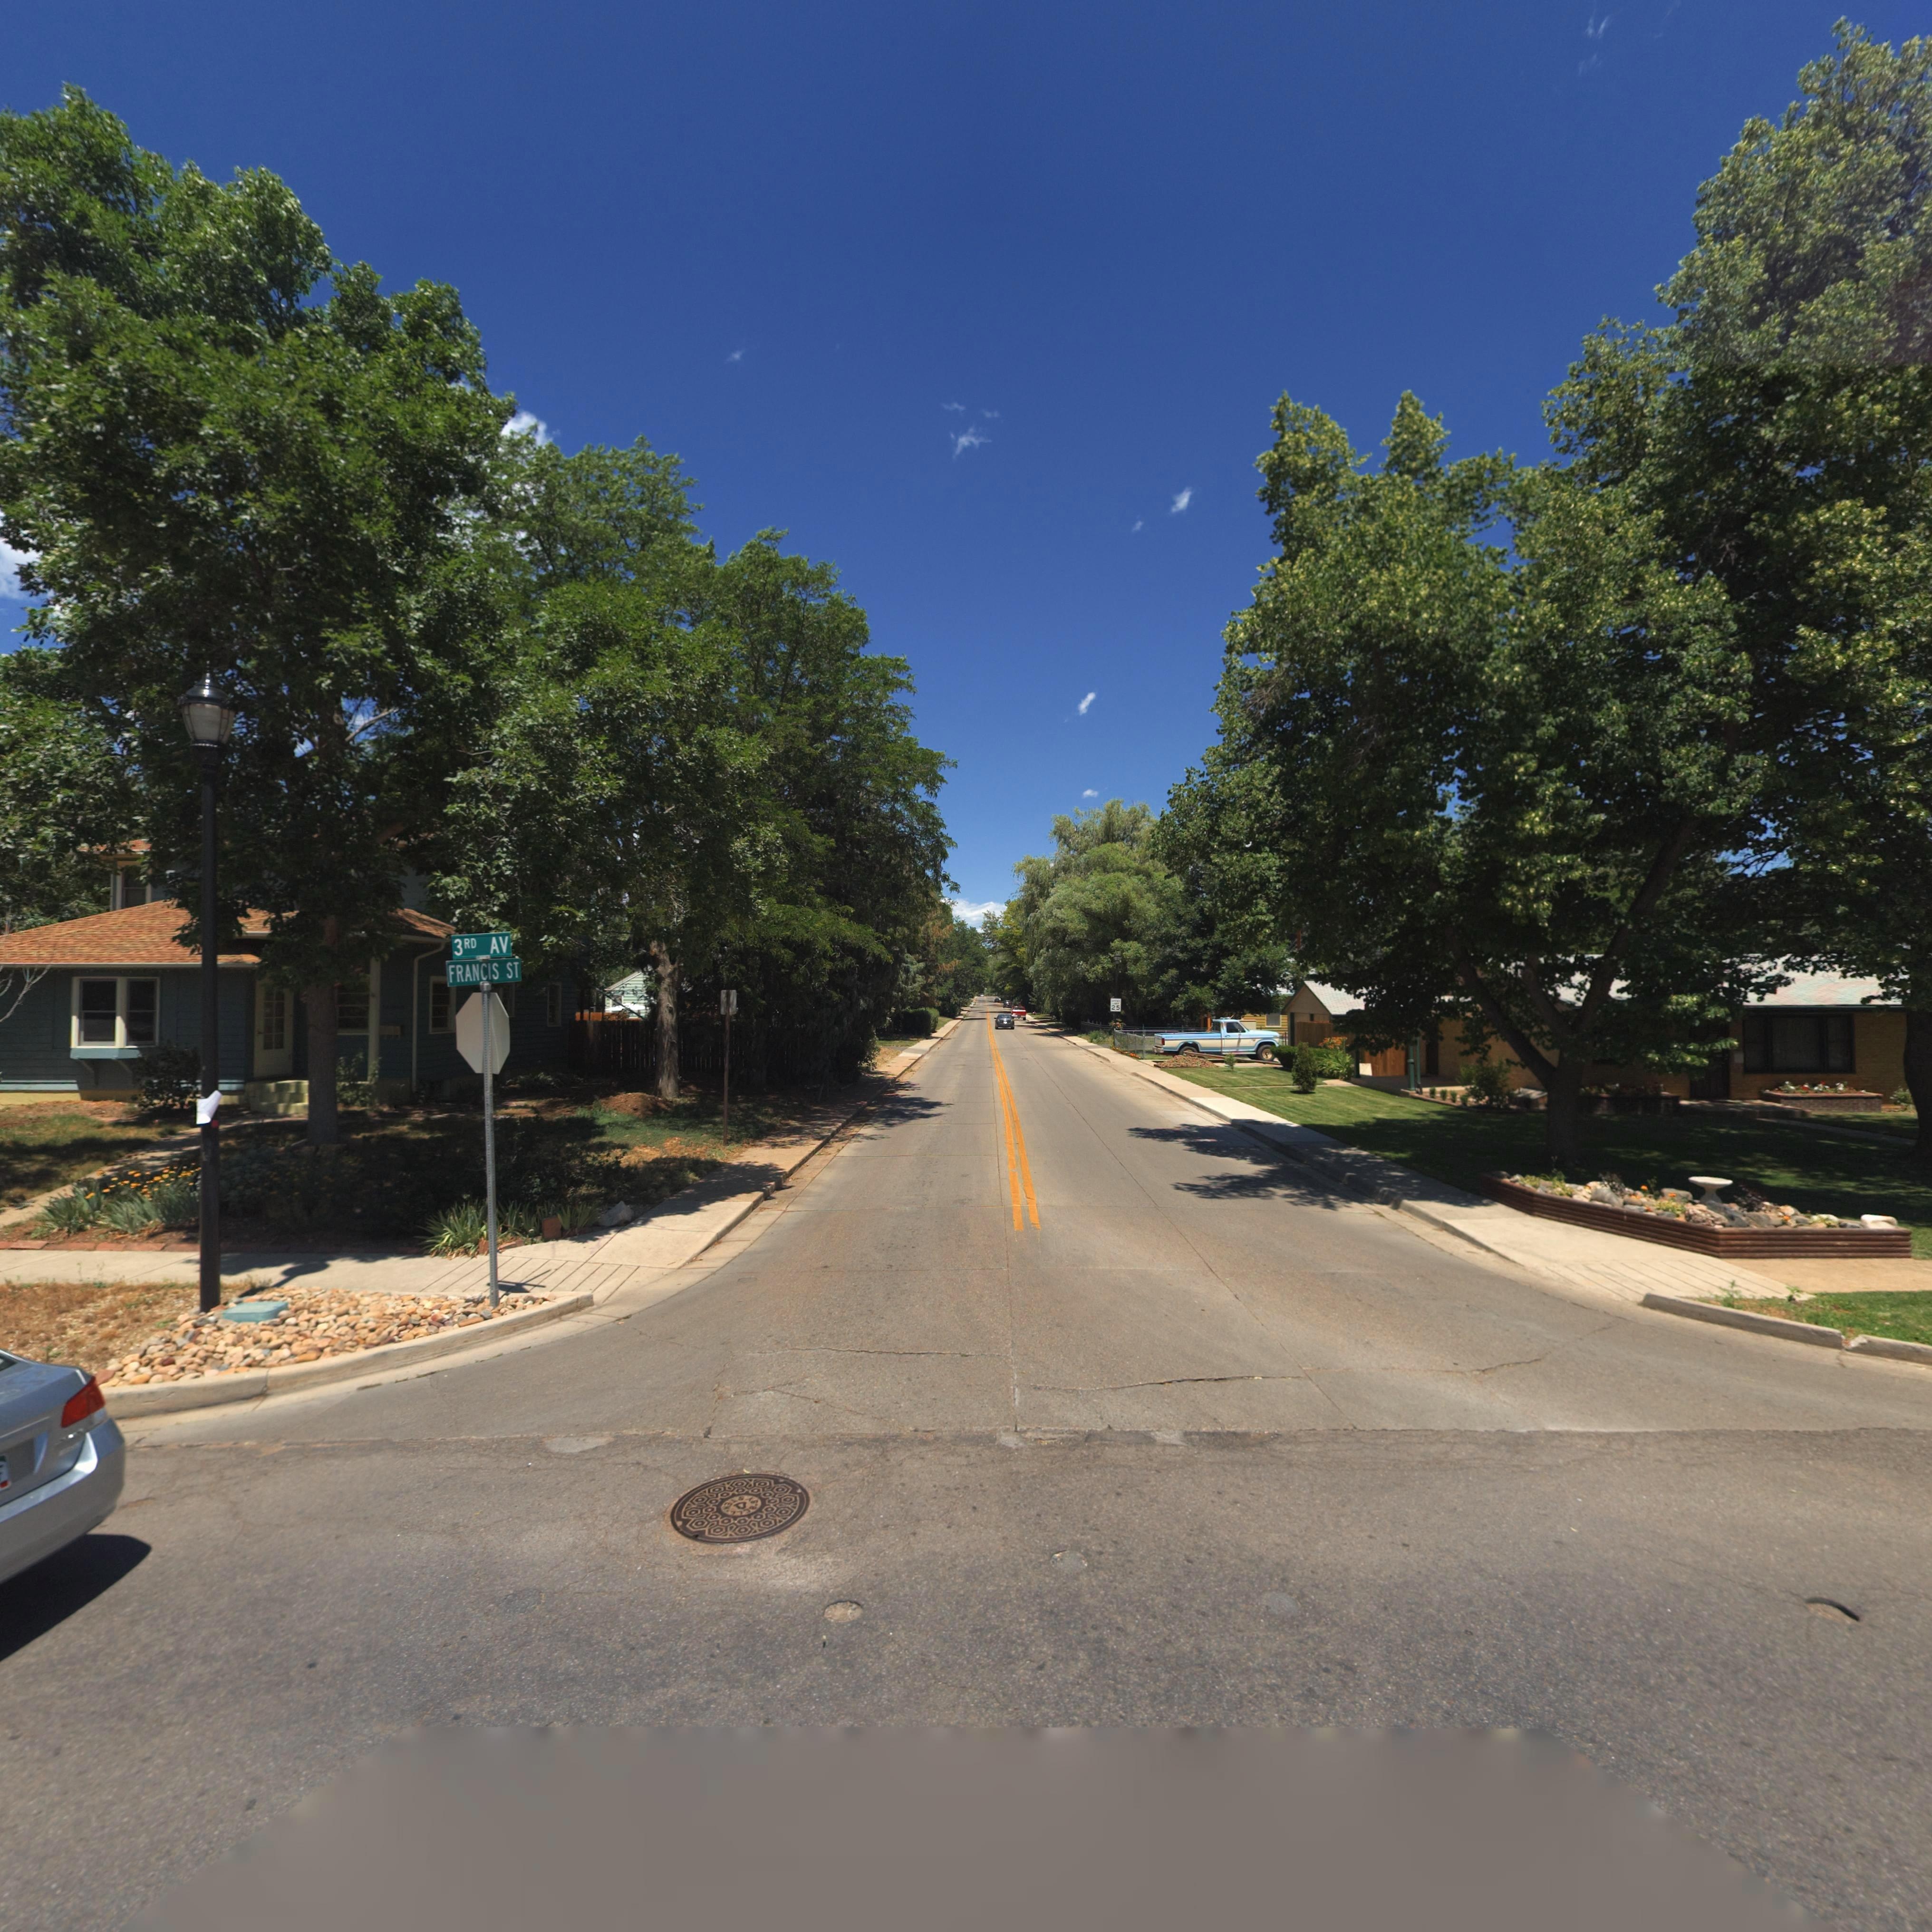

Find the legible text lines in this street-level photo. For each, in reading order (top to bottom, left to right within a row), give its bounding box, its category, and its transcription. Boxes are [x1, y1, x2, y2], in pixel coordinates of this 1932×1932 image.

[454, 935, 509, 956] StreetName: 3RD AV
[448, 961, 519, 983] StreetName: FRANCIS ST